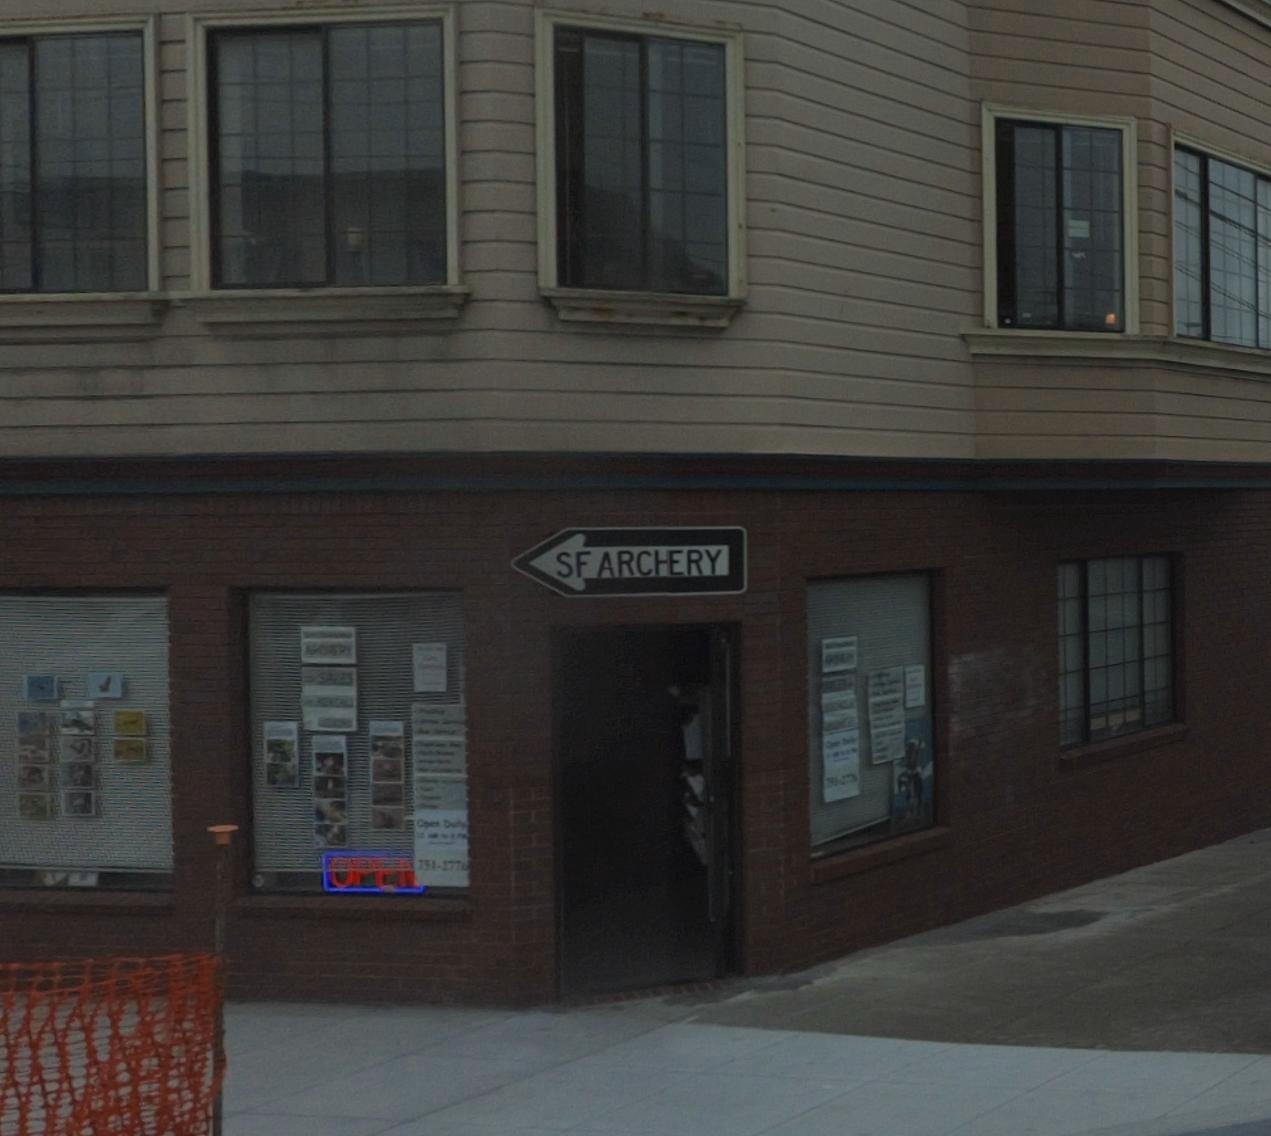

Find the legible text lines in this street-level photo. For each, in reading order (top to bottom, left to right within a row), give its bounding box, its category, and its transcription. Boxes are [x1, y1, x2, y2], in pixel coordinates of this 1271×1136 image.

[554, 547, 724, 580] BusinessName: SF ARCHERY
[326, 854, 398, 890] None: OPE
[415, 856, 469, 873] None: *51-2776